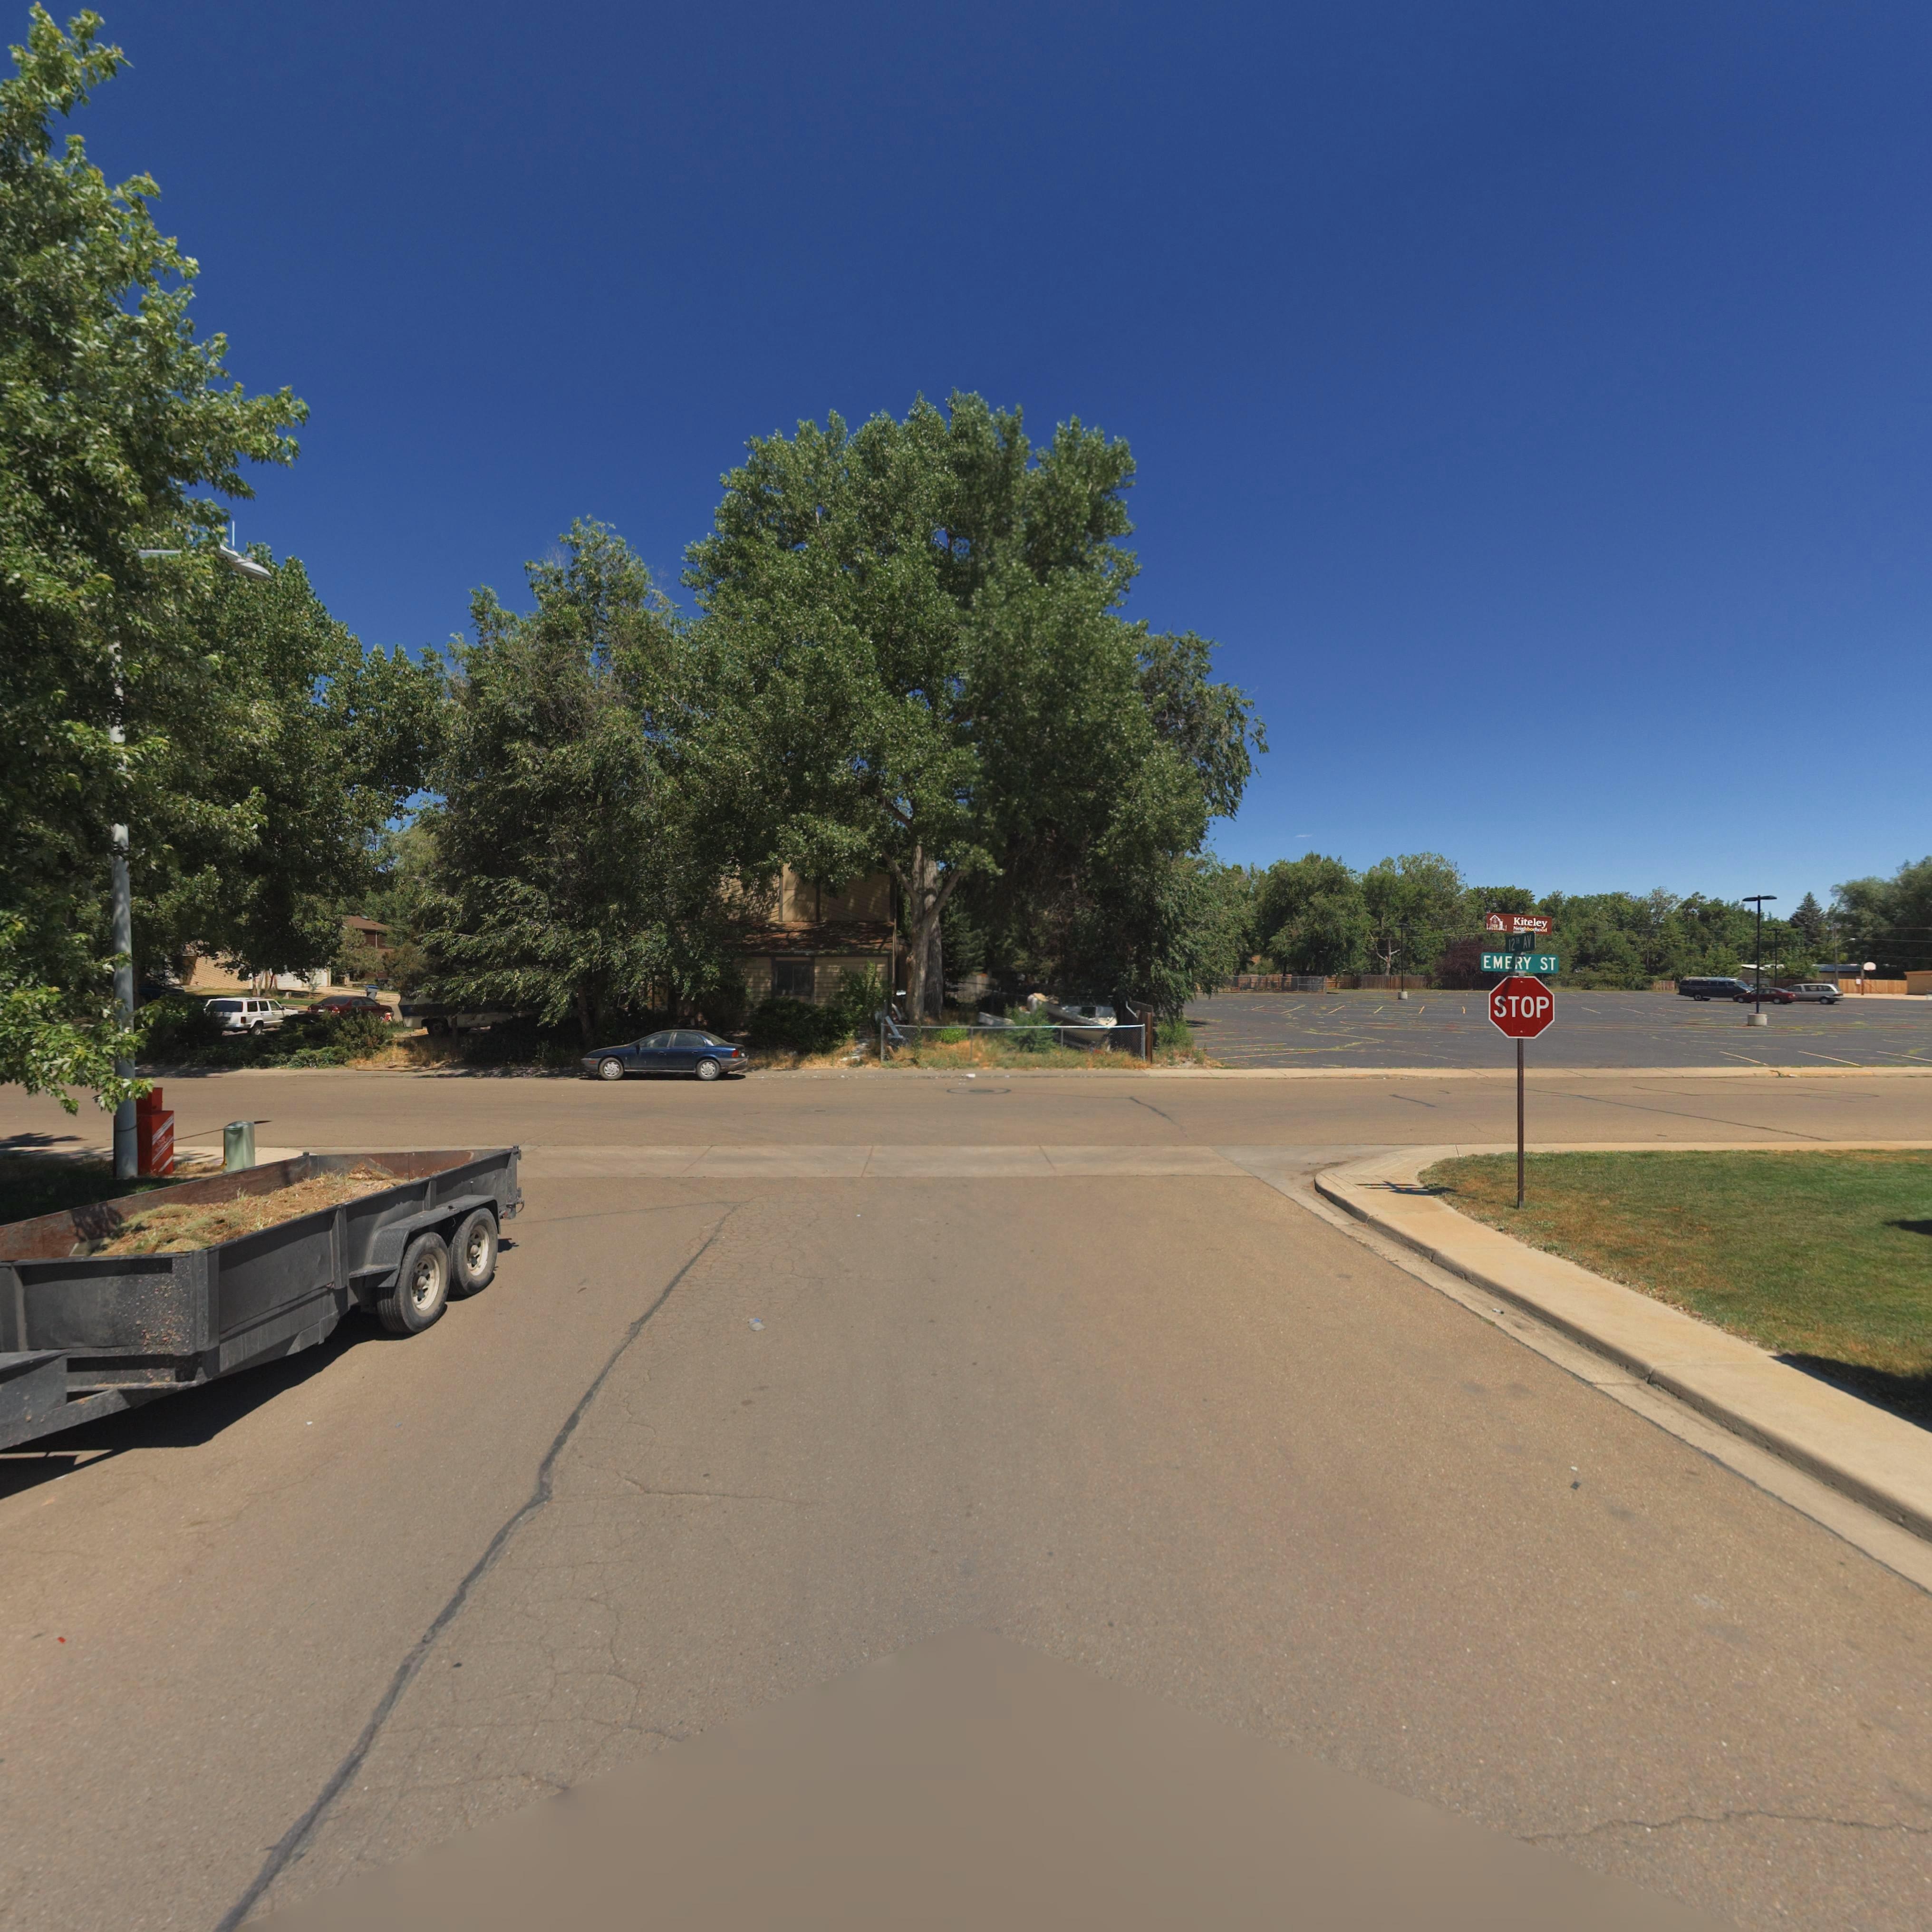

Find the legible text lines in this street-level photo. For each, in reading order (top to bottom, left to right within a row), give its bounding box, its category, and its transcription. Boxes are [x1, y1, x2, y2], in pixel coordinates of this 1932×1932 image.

[1508, 934, 1531, 952] StreetName: 12** AV
[1483, 955, 1556, 971] StreetName: EMERY ST